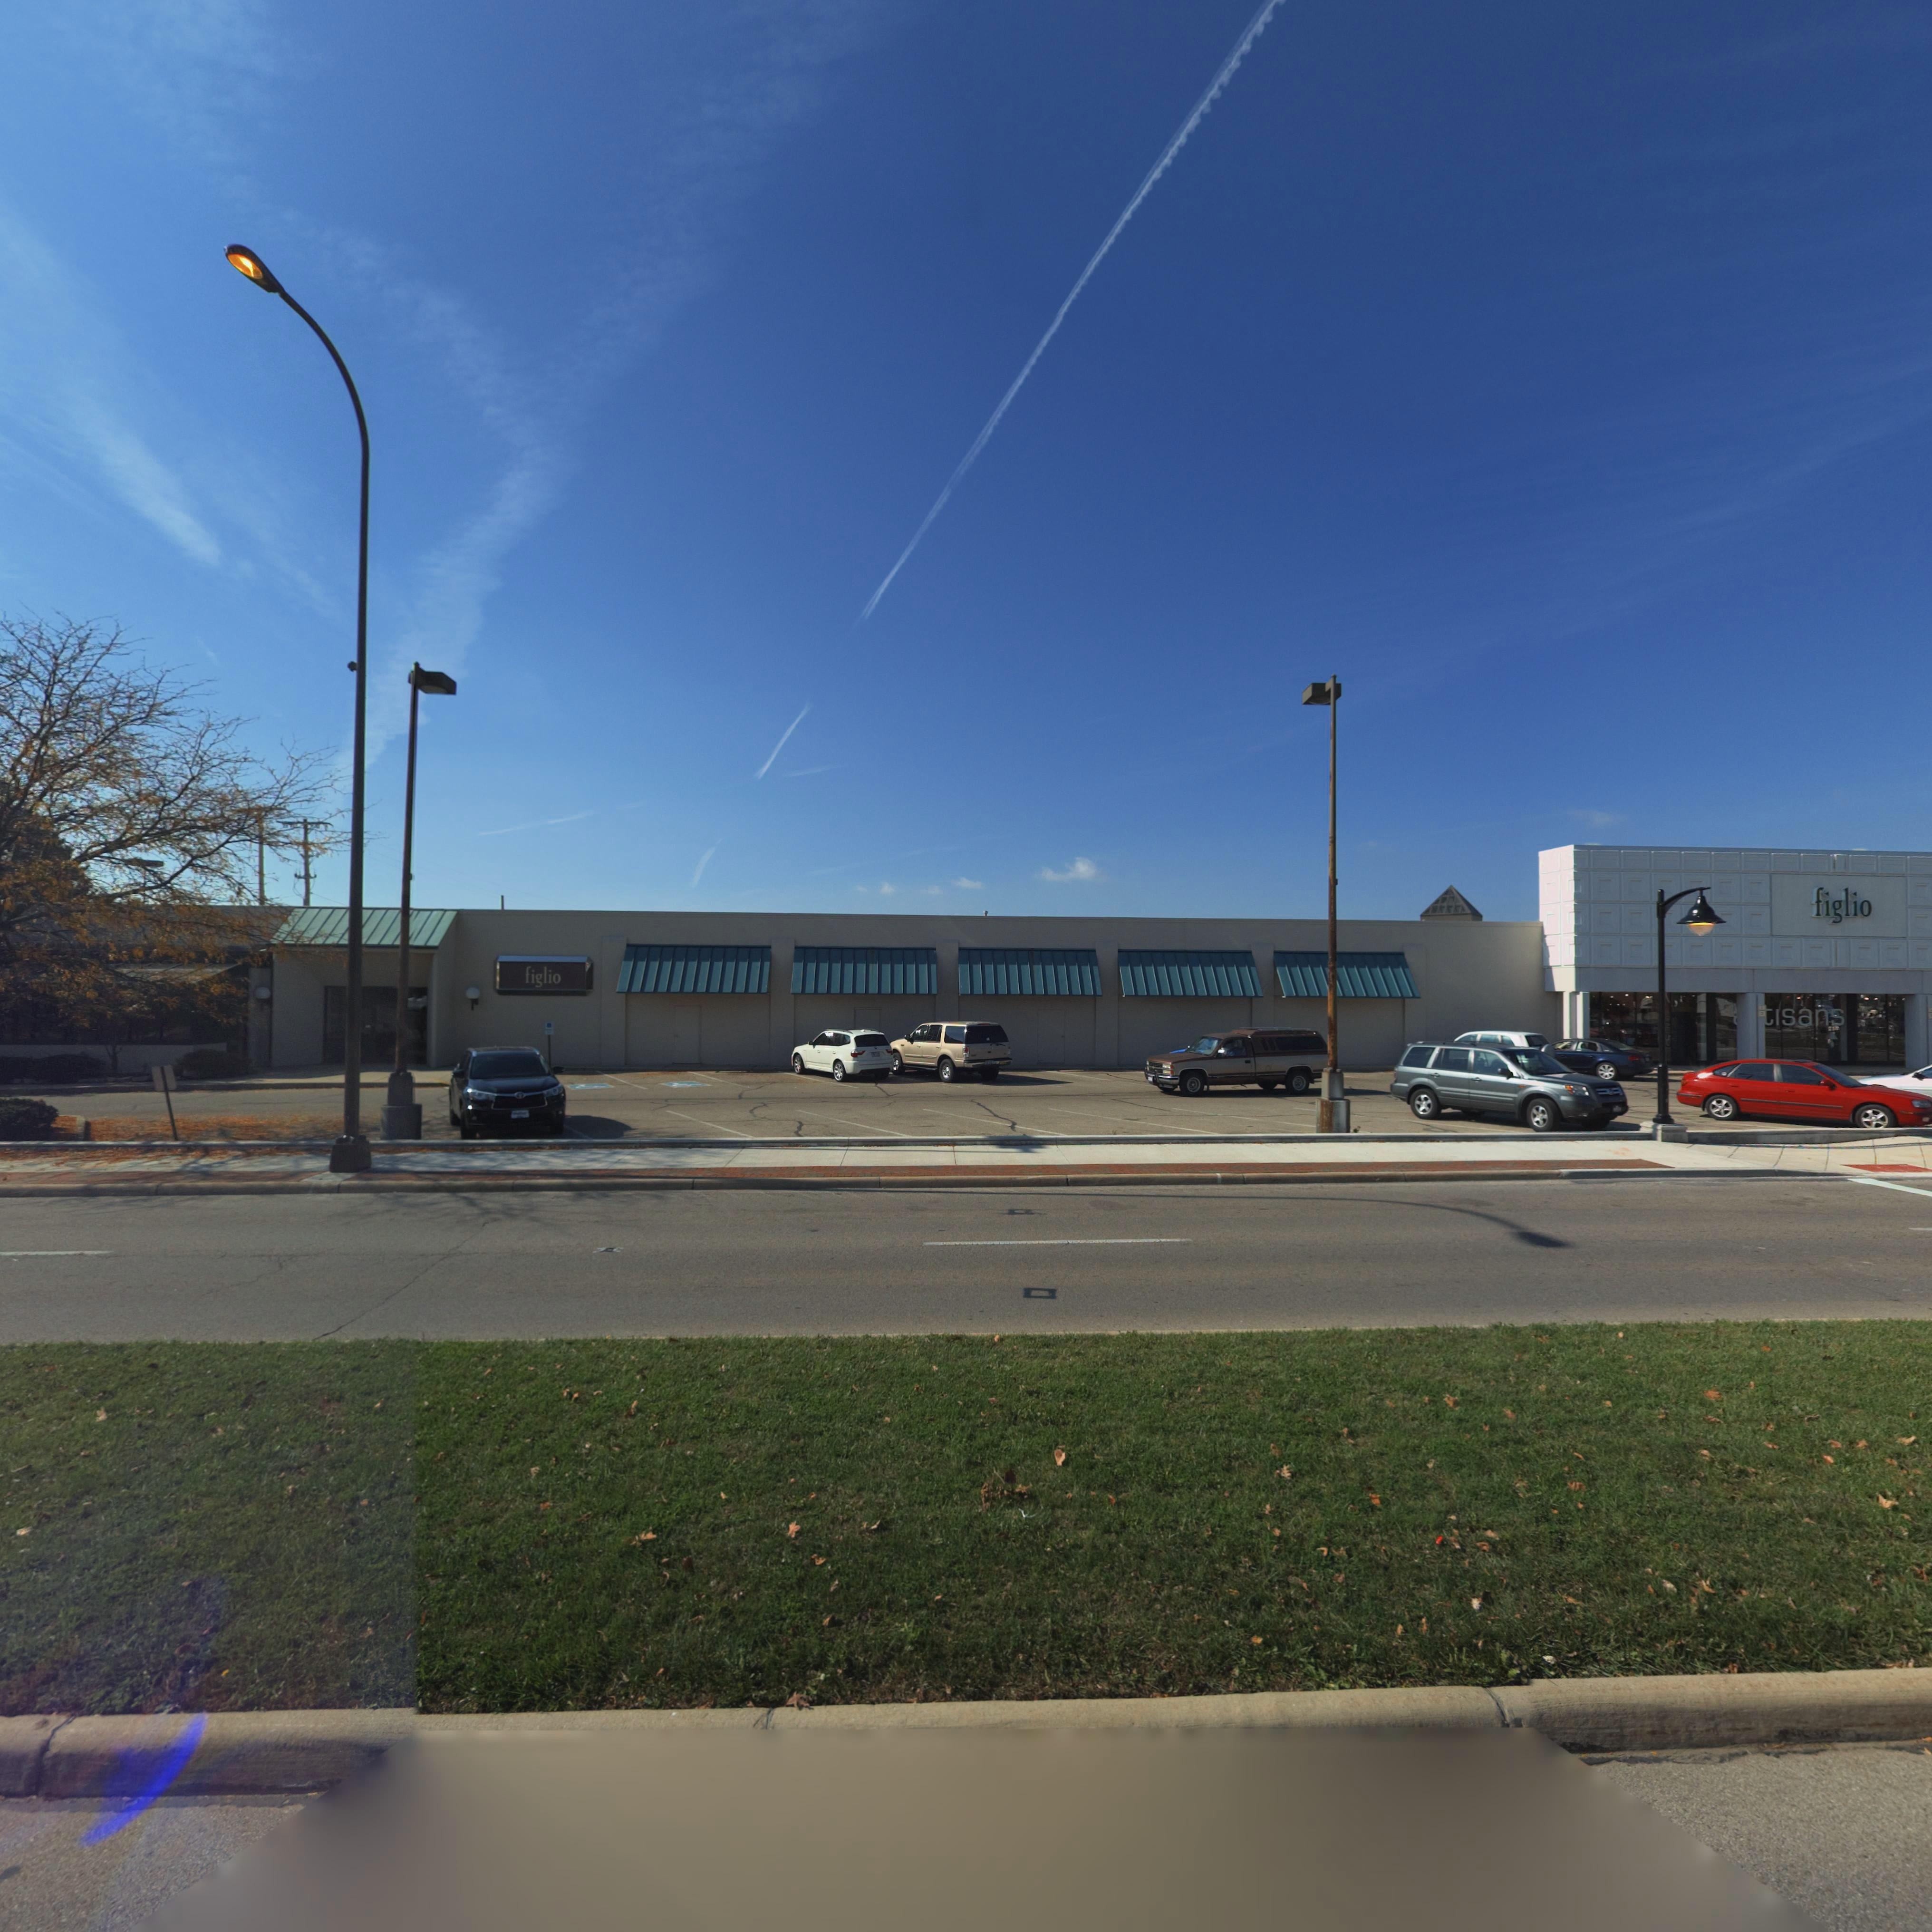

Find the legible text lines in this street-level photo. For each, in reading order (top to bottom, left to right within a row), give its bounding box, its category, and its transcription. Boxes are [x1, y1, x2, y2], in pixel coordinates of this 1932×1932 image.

[1812, 886, 1873, 925] BusinessName: figlio
[524, 965, 561, 988] BusinessName: figlio
[1775, 1008, 1845, 1026] None: isans